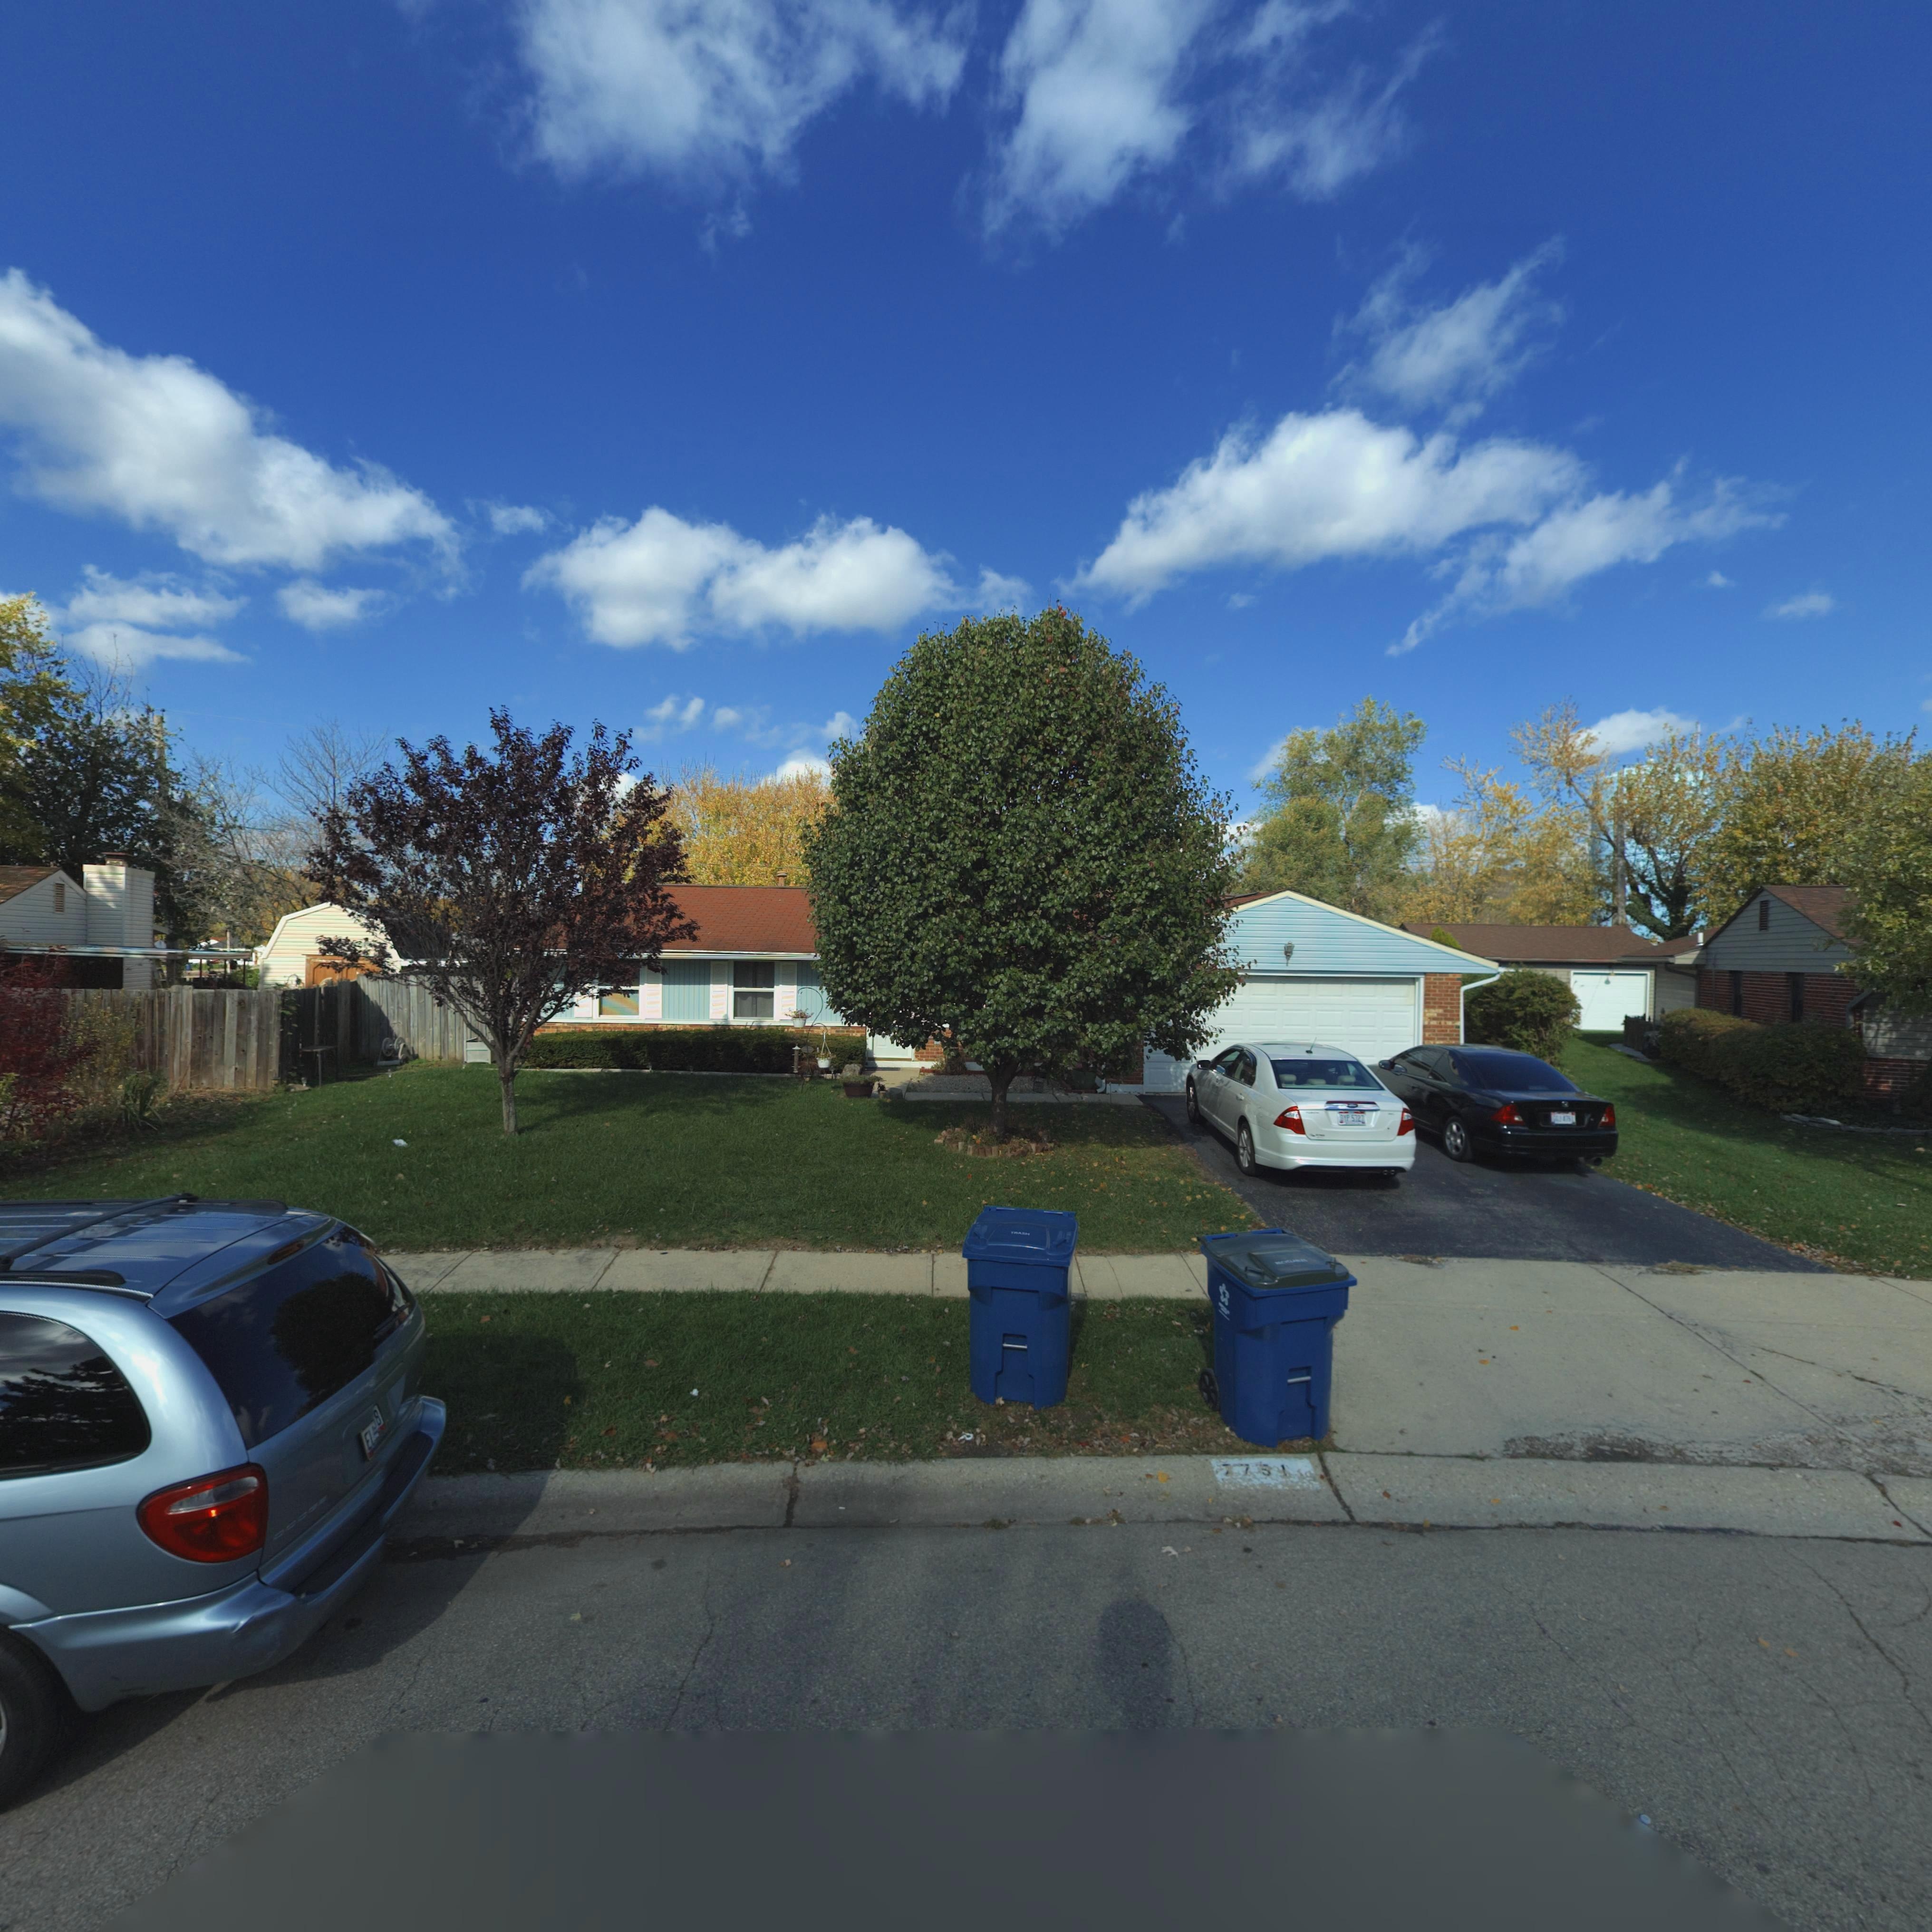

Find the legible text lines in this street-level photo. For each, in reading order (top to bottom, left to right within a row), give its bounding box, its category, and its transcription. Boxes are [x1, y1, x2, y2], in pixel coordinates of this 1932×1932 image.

[1221, 1463, 1289, 1478] StreetNumber: 7751